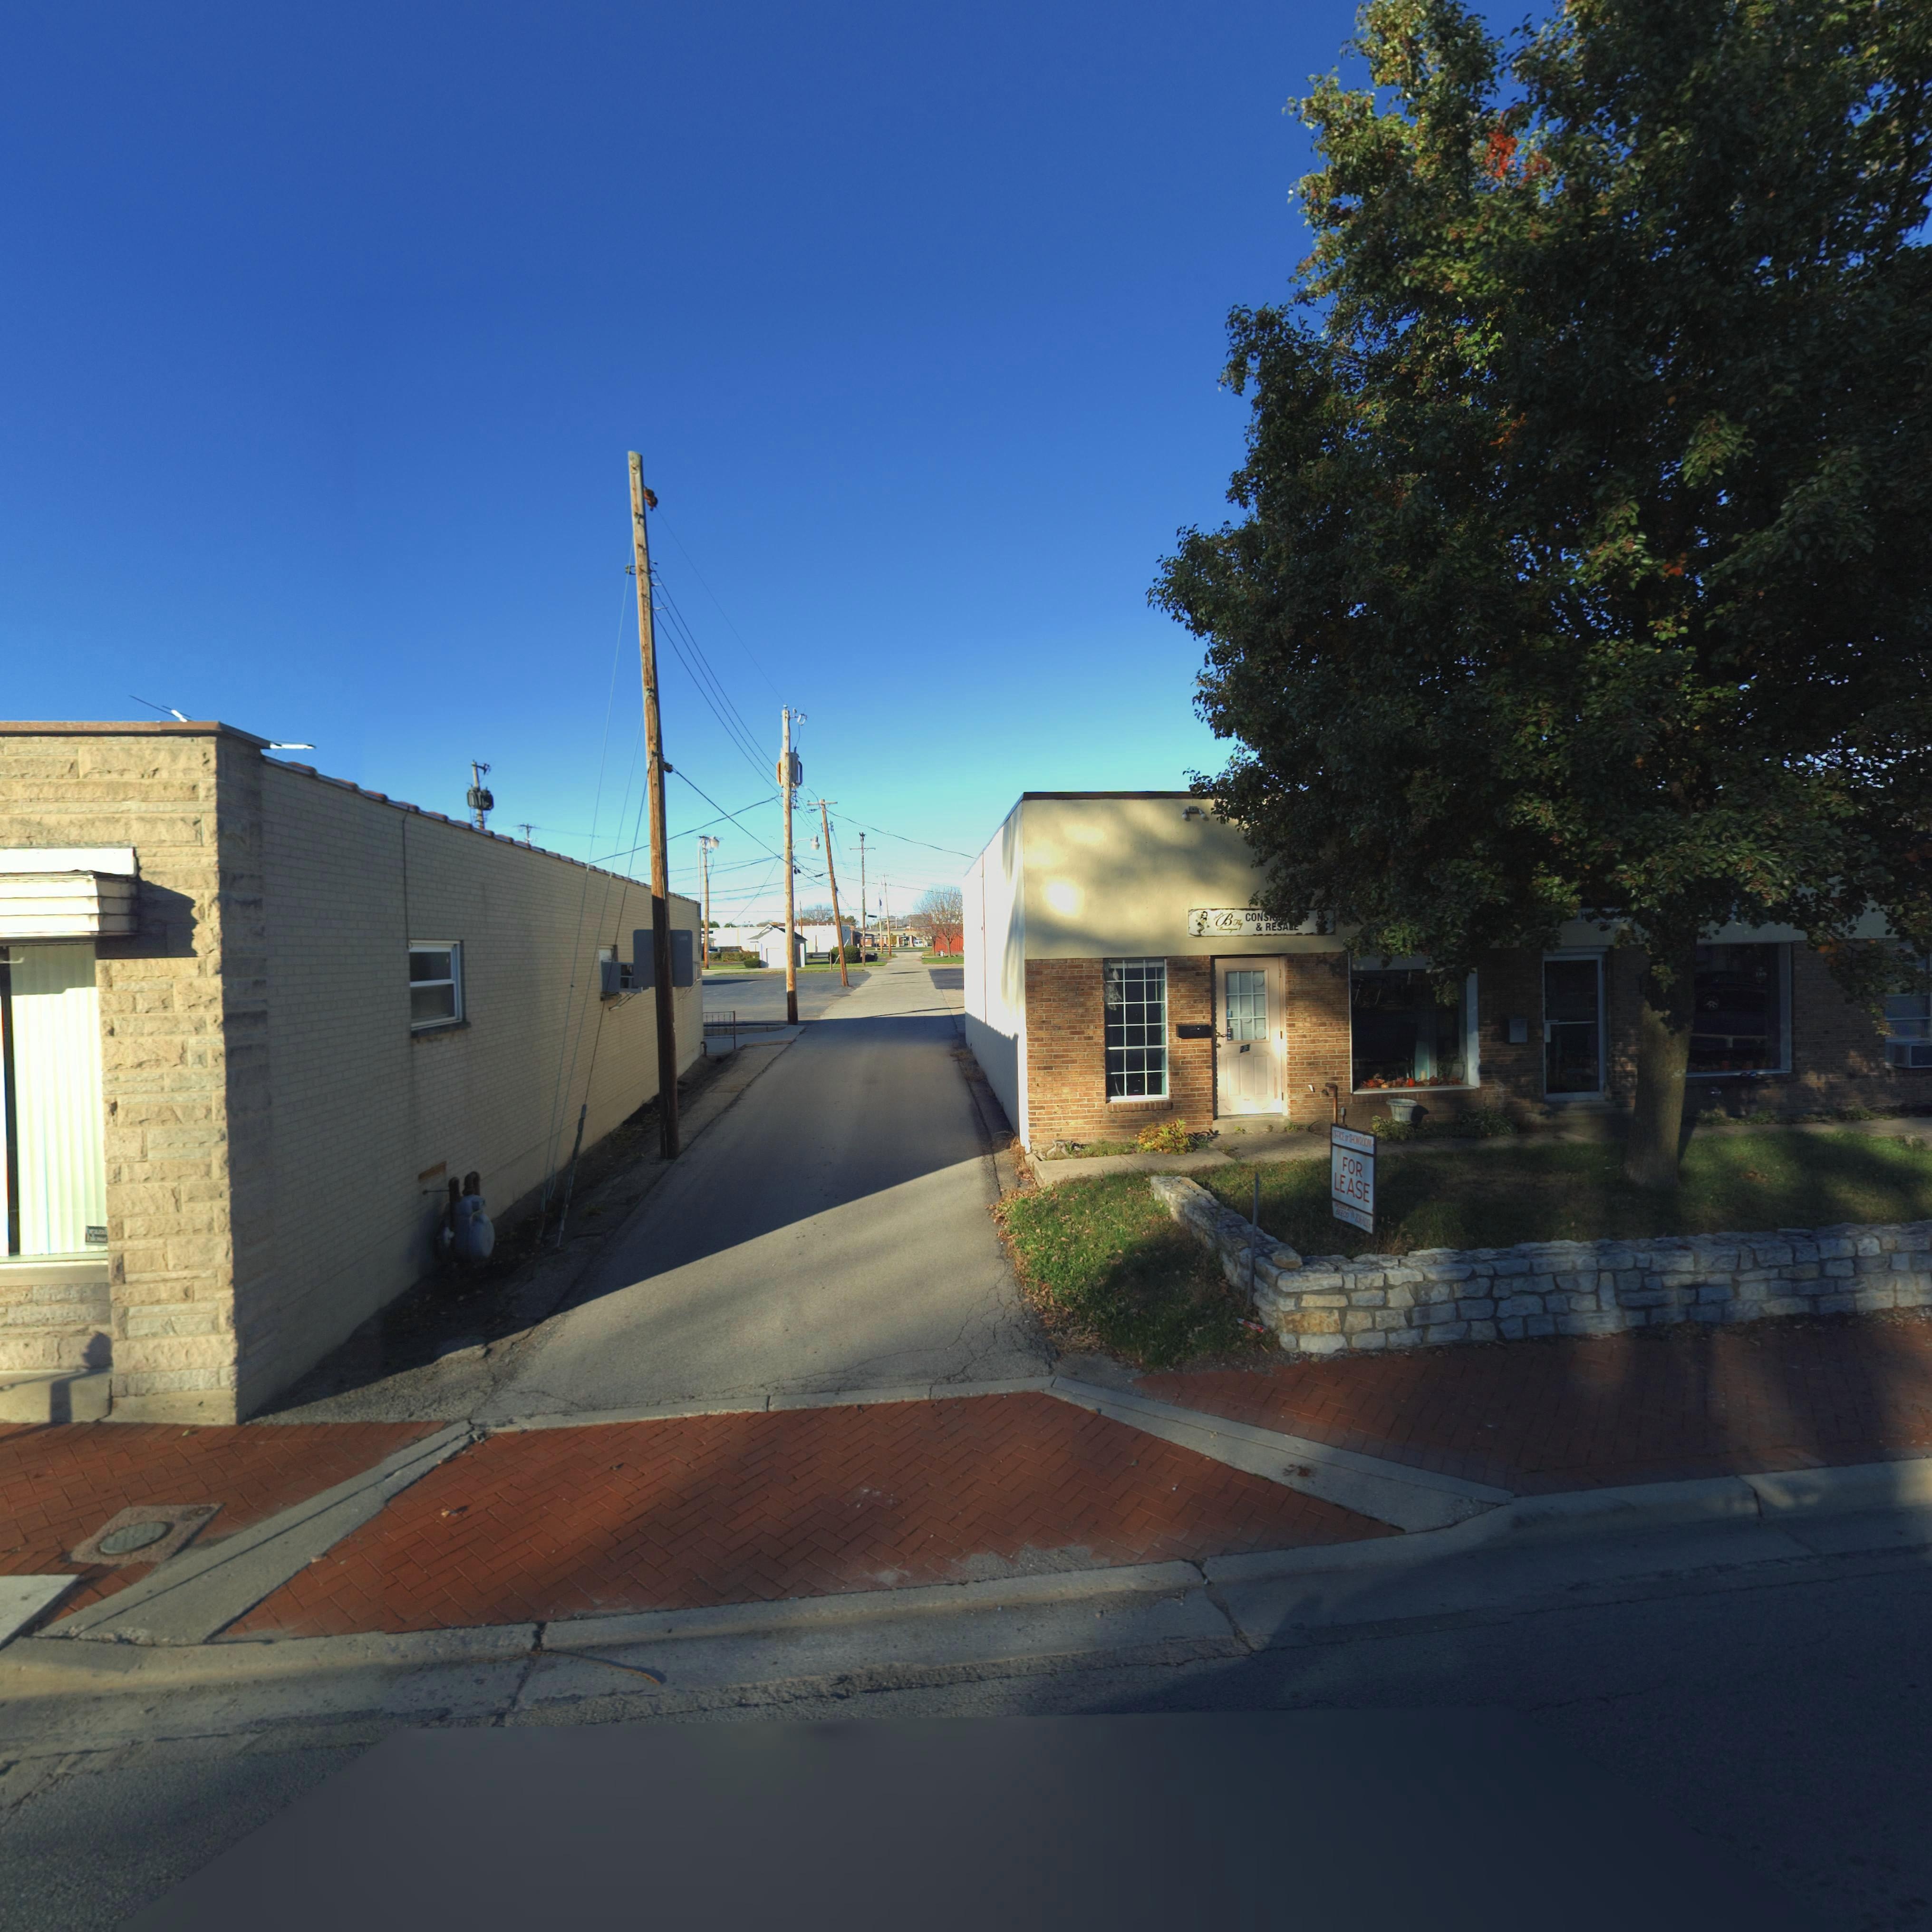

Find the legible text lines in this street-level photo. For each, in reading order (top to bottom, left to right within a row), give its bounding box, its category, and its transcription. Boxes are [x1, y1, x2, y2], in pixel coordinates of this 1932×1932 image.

[1243, 909, 1263, 922] BusinessName: CON
[1255, 922, 1300, 932] BusinessName: & RESA
[1240, 1044, 1250, 1053] StreetNumber: 23
[1342, 1155, 1364, 1179] None: FOR
[1333, 1171, 1371, 1205] None: LEASE